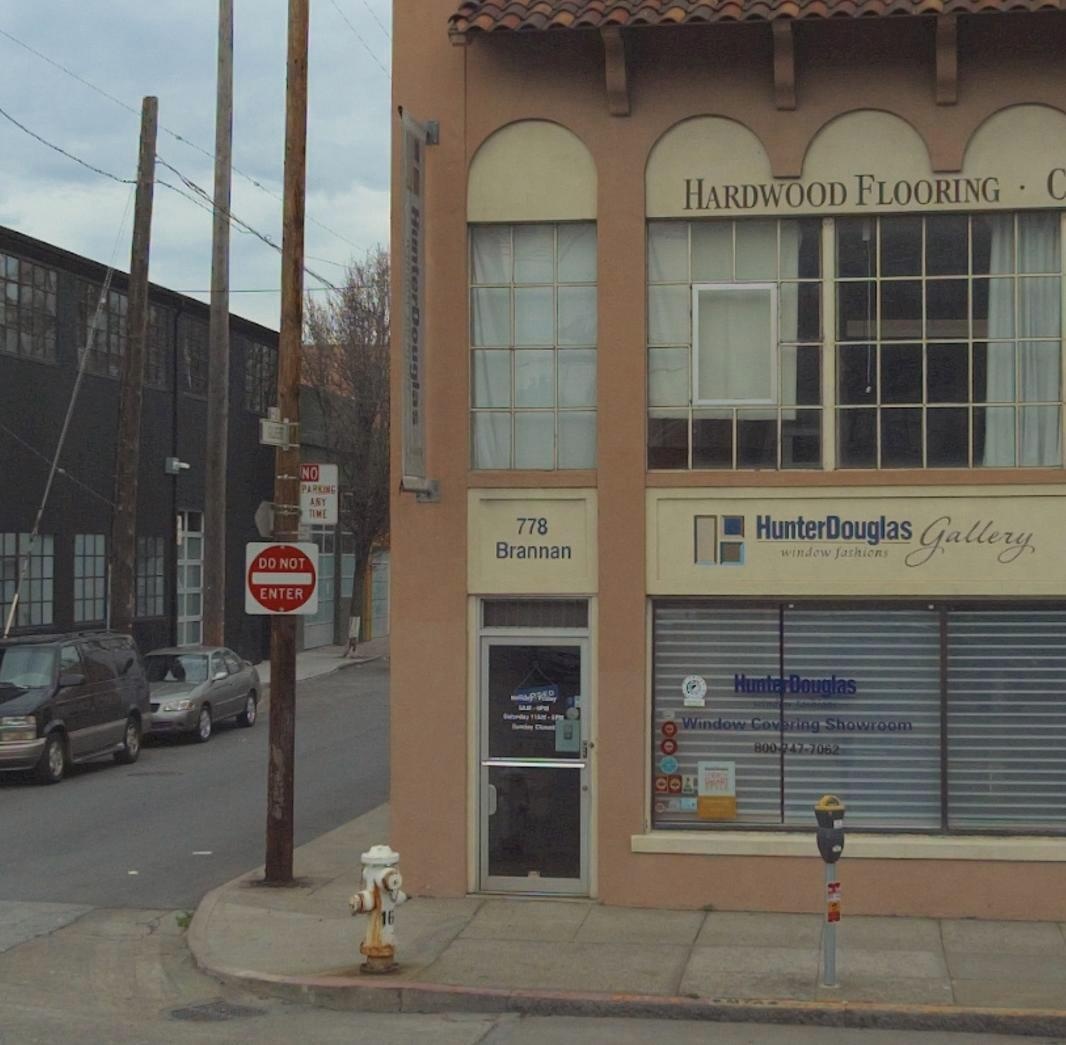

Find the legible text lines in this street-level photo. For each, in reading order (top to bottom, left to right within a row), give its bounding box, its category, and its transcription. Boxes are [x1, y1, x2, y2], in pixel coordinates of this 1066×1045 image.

[680, 170, 1005, 213] None: HARDWOOD FLOORING
[300, 464, 320, 482] None: NO
[299, 482, 338, 497] None: PARKING
[307, 494, 329, 509] None: ANY
[305, 506, 330, 521] None: TIME
[514, 515, 550, 537] StreetNumber: 778
[754, 512, 915, 548] BusinessName: HunterDouglas
[257, 556, 307, 571] None: DO NOT
[494, 539, 574, 561] StreetName: Brannan
[779, 544, 891, 563] None: window fashions
[900, 513, 1039, 571] BusinessName: Gallery
[258, 586, 305, 602] None: ENTER
[732, 670, 859, 701] BusinessName: Hunte* Douglas
[677, 714, 915, 737] None: Window Cov*ring Showroom
[751, 739, 843, 758] None: 800-747-7062
[378, 906, 396, 930] None: 1*